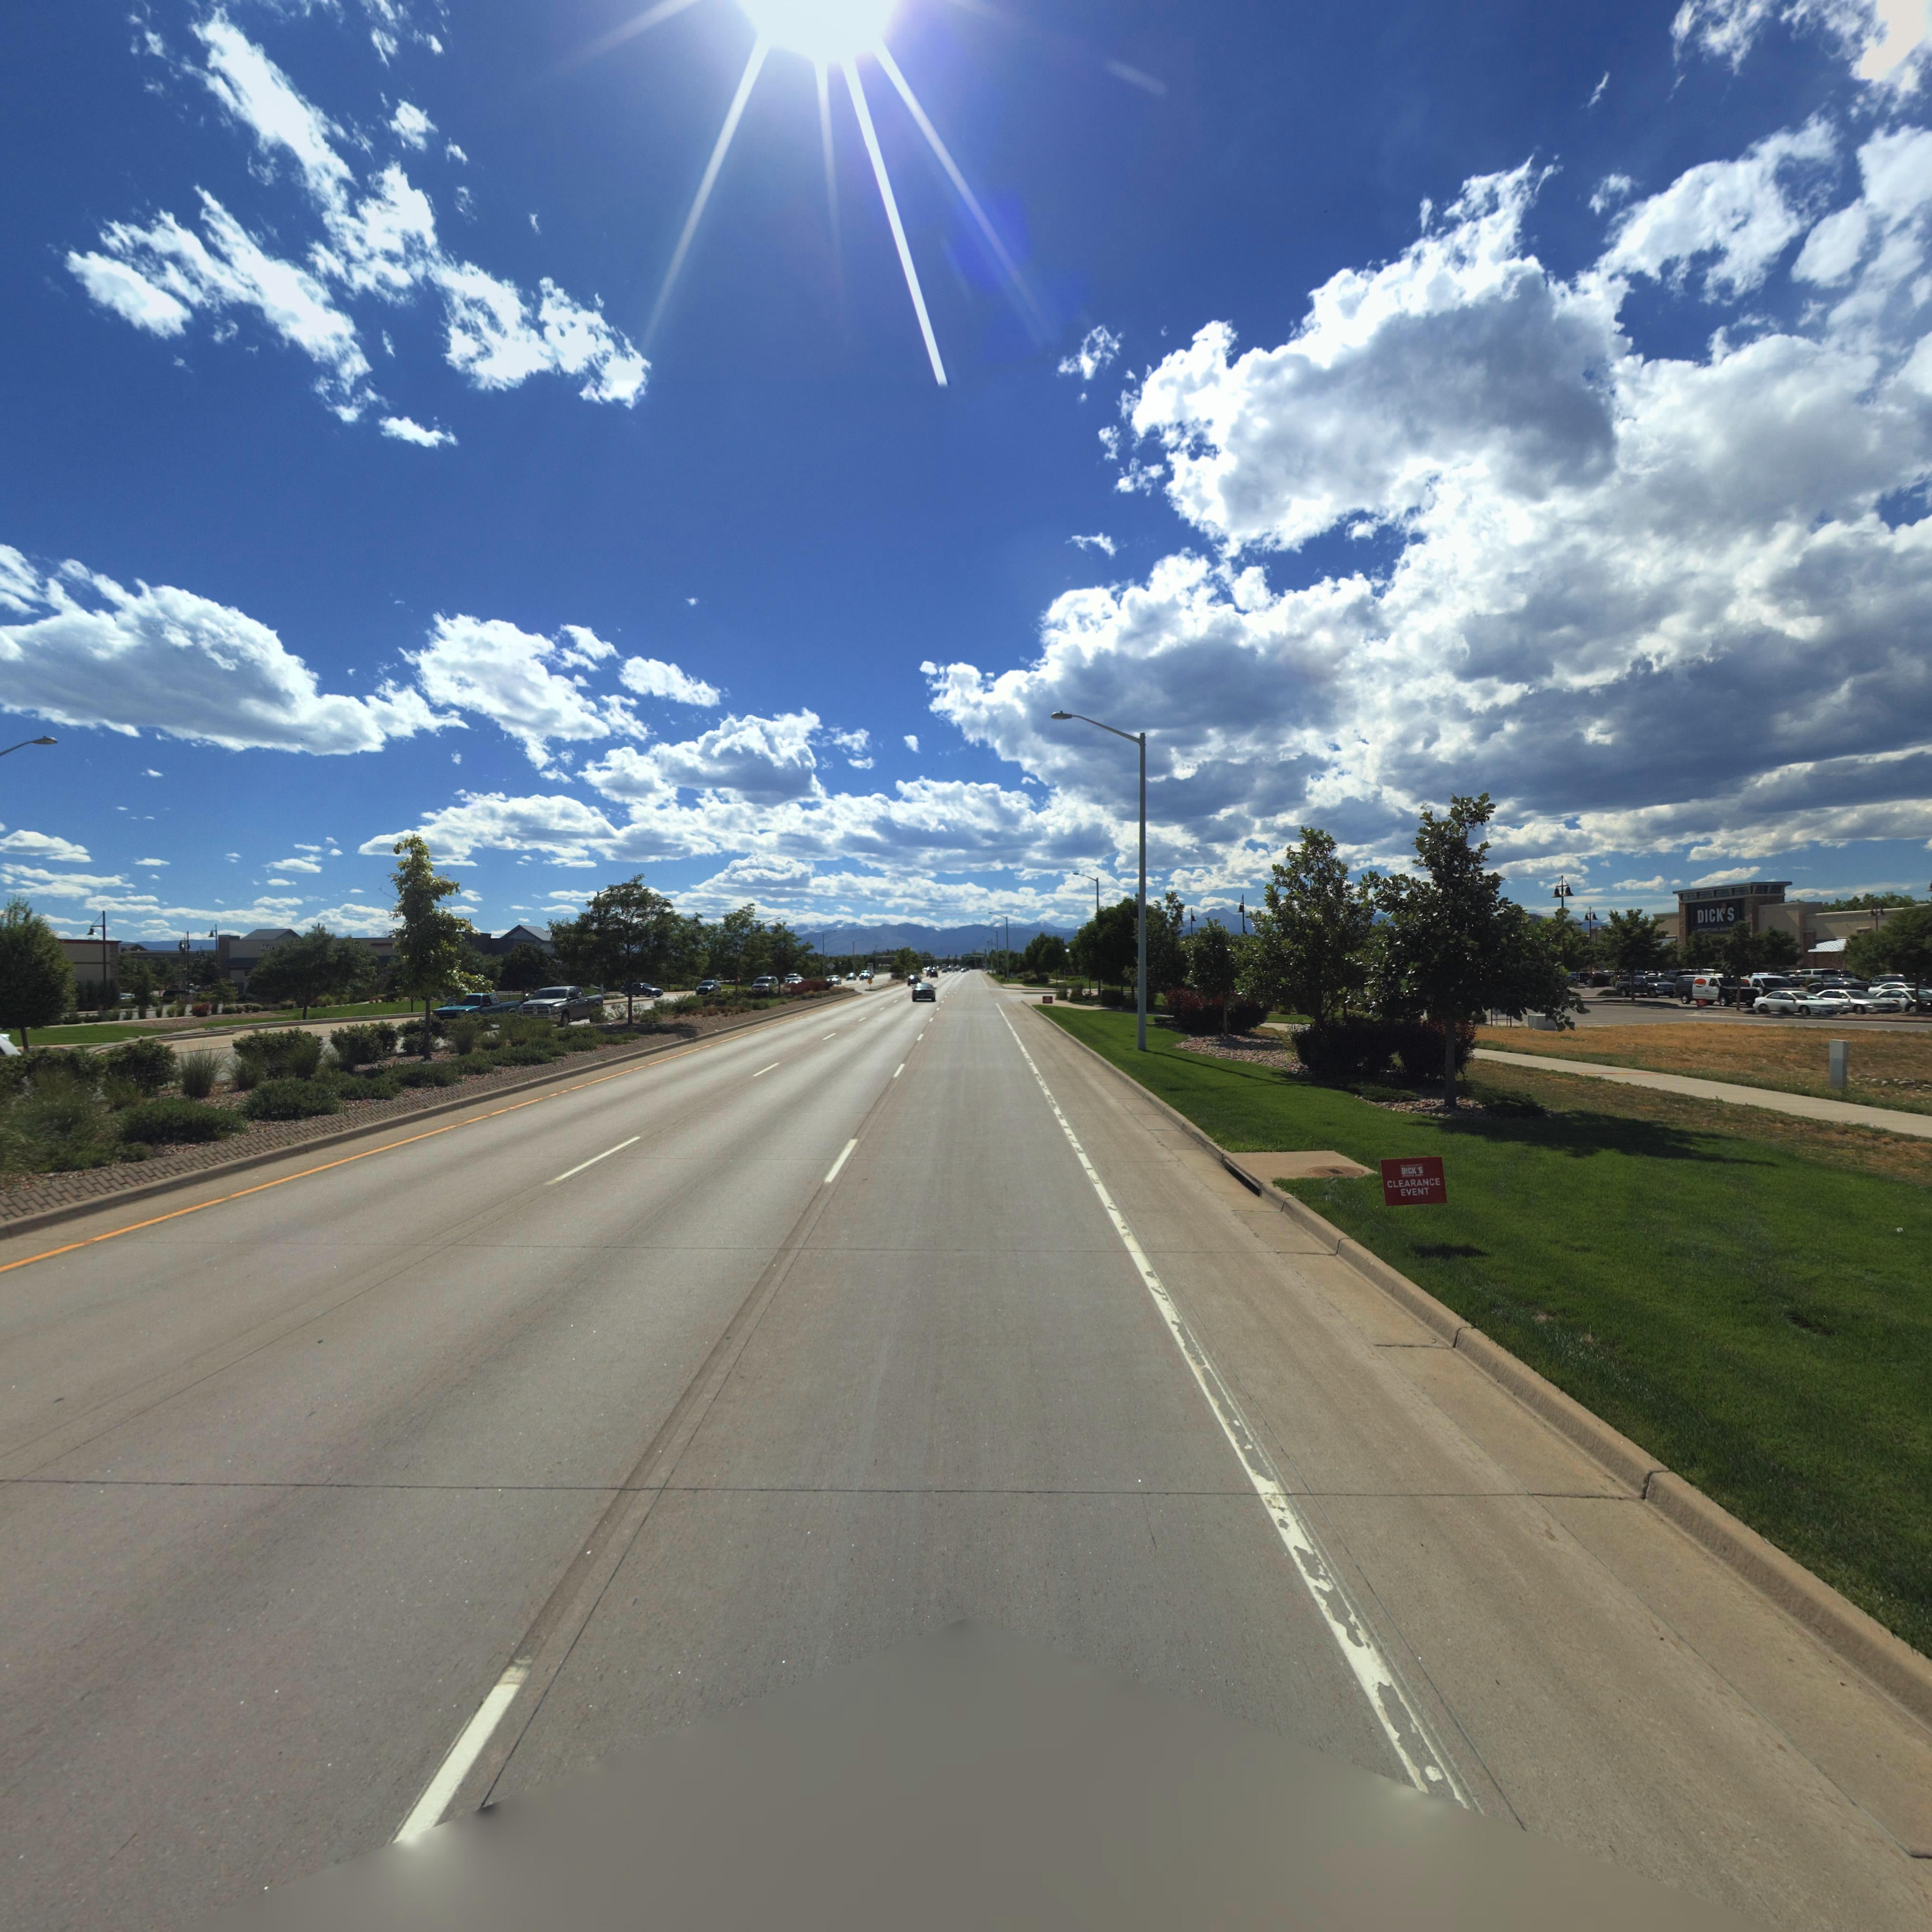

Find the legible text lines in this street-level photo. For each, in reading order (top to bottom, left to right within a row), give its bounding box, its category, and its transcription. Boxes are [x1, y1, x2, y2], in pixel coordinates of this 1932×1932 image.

[1695, 907, 1736, 925] BusinessName: DICK*S
[1697, 926, 1735, 933] BusinessName: SPORTING GOODS
[259, 943, 278, 951] BusinessName: MATT
[1401, 1166, 1423, 1175] BusinessName: DICK'S